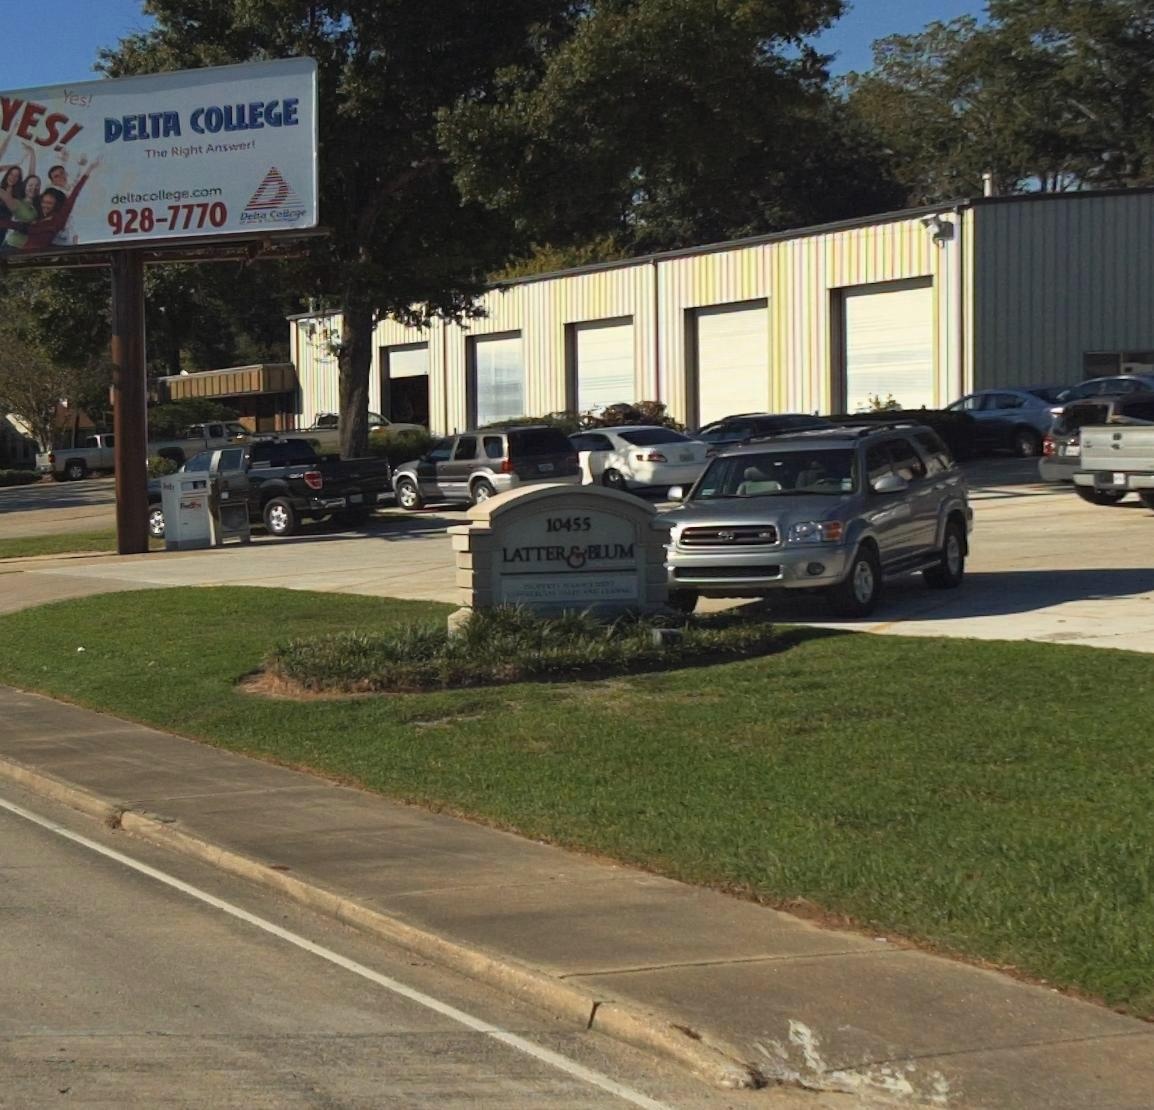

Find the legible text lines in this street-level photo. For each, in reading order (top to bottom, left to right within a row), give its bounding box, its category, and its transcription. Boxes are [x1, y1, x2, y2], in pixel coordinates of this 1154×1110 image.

[61, 87, 97, 113] None: Yes!
[0, 93, 89, 157] None: YES!
[100, 92, 306, 147] BusinessName: DELTA COLLEGE
[141, 136, 259, 161] None: The Right Answer!
[108, 182, 225, 207] None: deltacollege.com
[104, 199, 234, 239] None: 928-7770
[237, 207, 311, 224] BusinessName: Delta College
[543, 513, 595, 535] StreetNumber: 10455
[500, 541, 636, 572] BusinessName: LATTER & BLUM